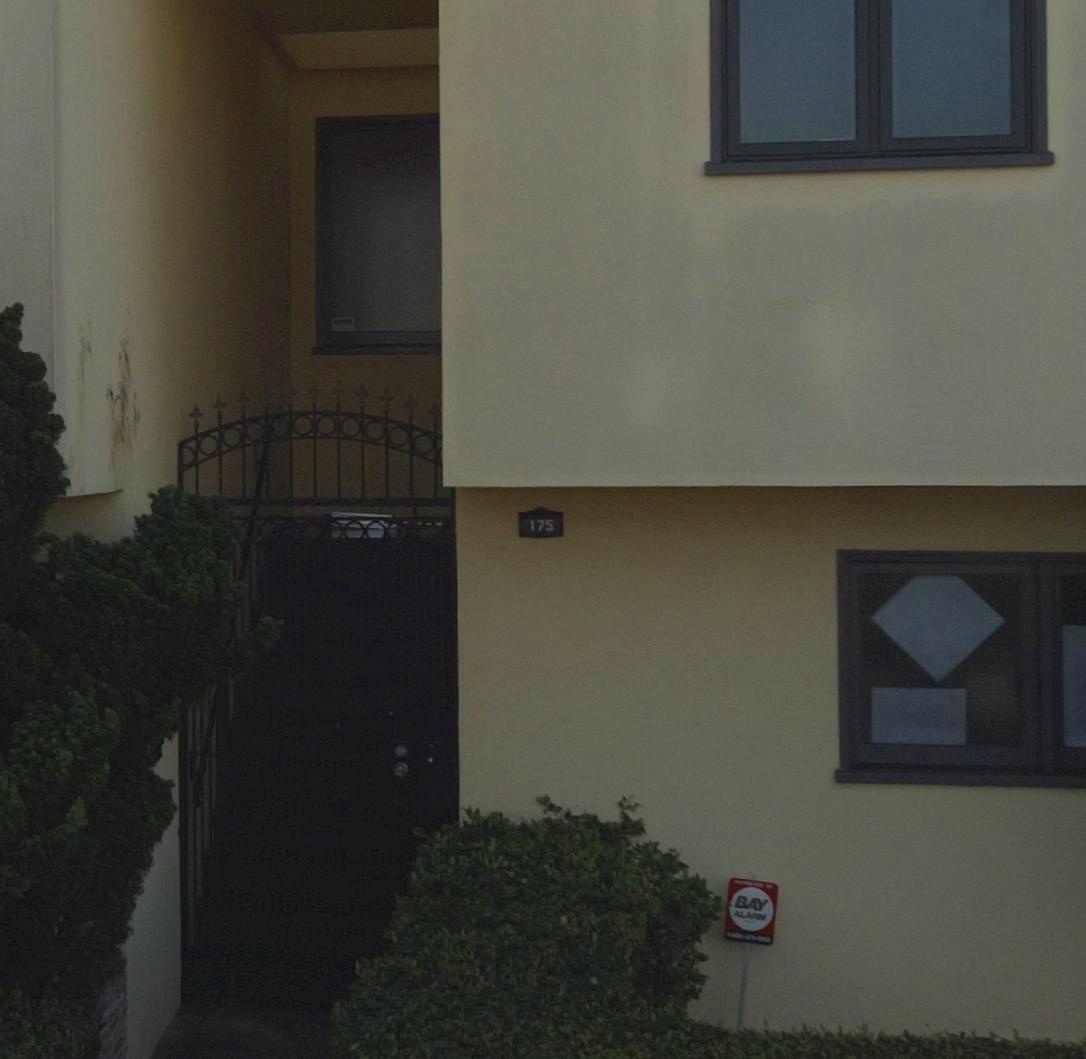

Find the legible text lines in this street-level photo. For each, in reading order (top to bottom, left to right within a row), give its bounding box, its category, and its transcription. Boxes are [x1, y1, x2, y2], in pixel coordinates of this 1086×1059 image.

[527, 517, 555, 534] StreetNumber: 175
[733, 892, 771, 914] None: BAY
[729, 908, 769, 924] None: ALARM